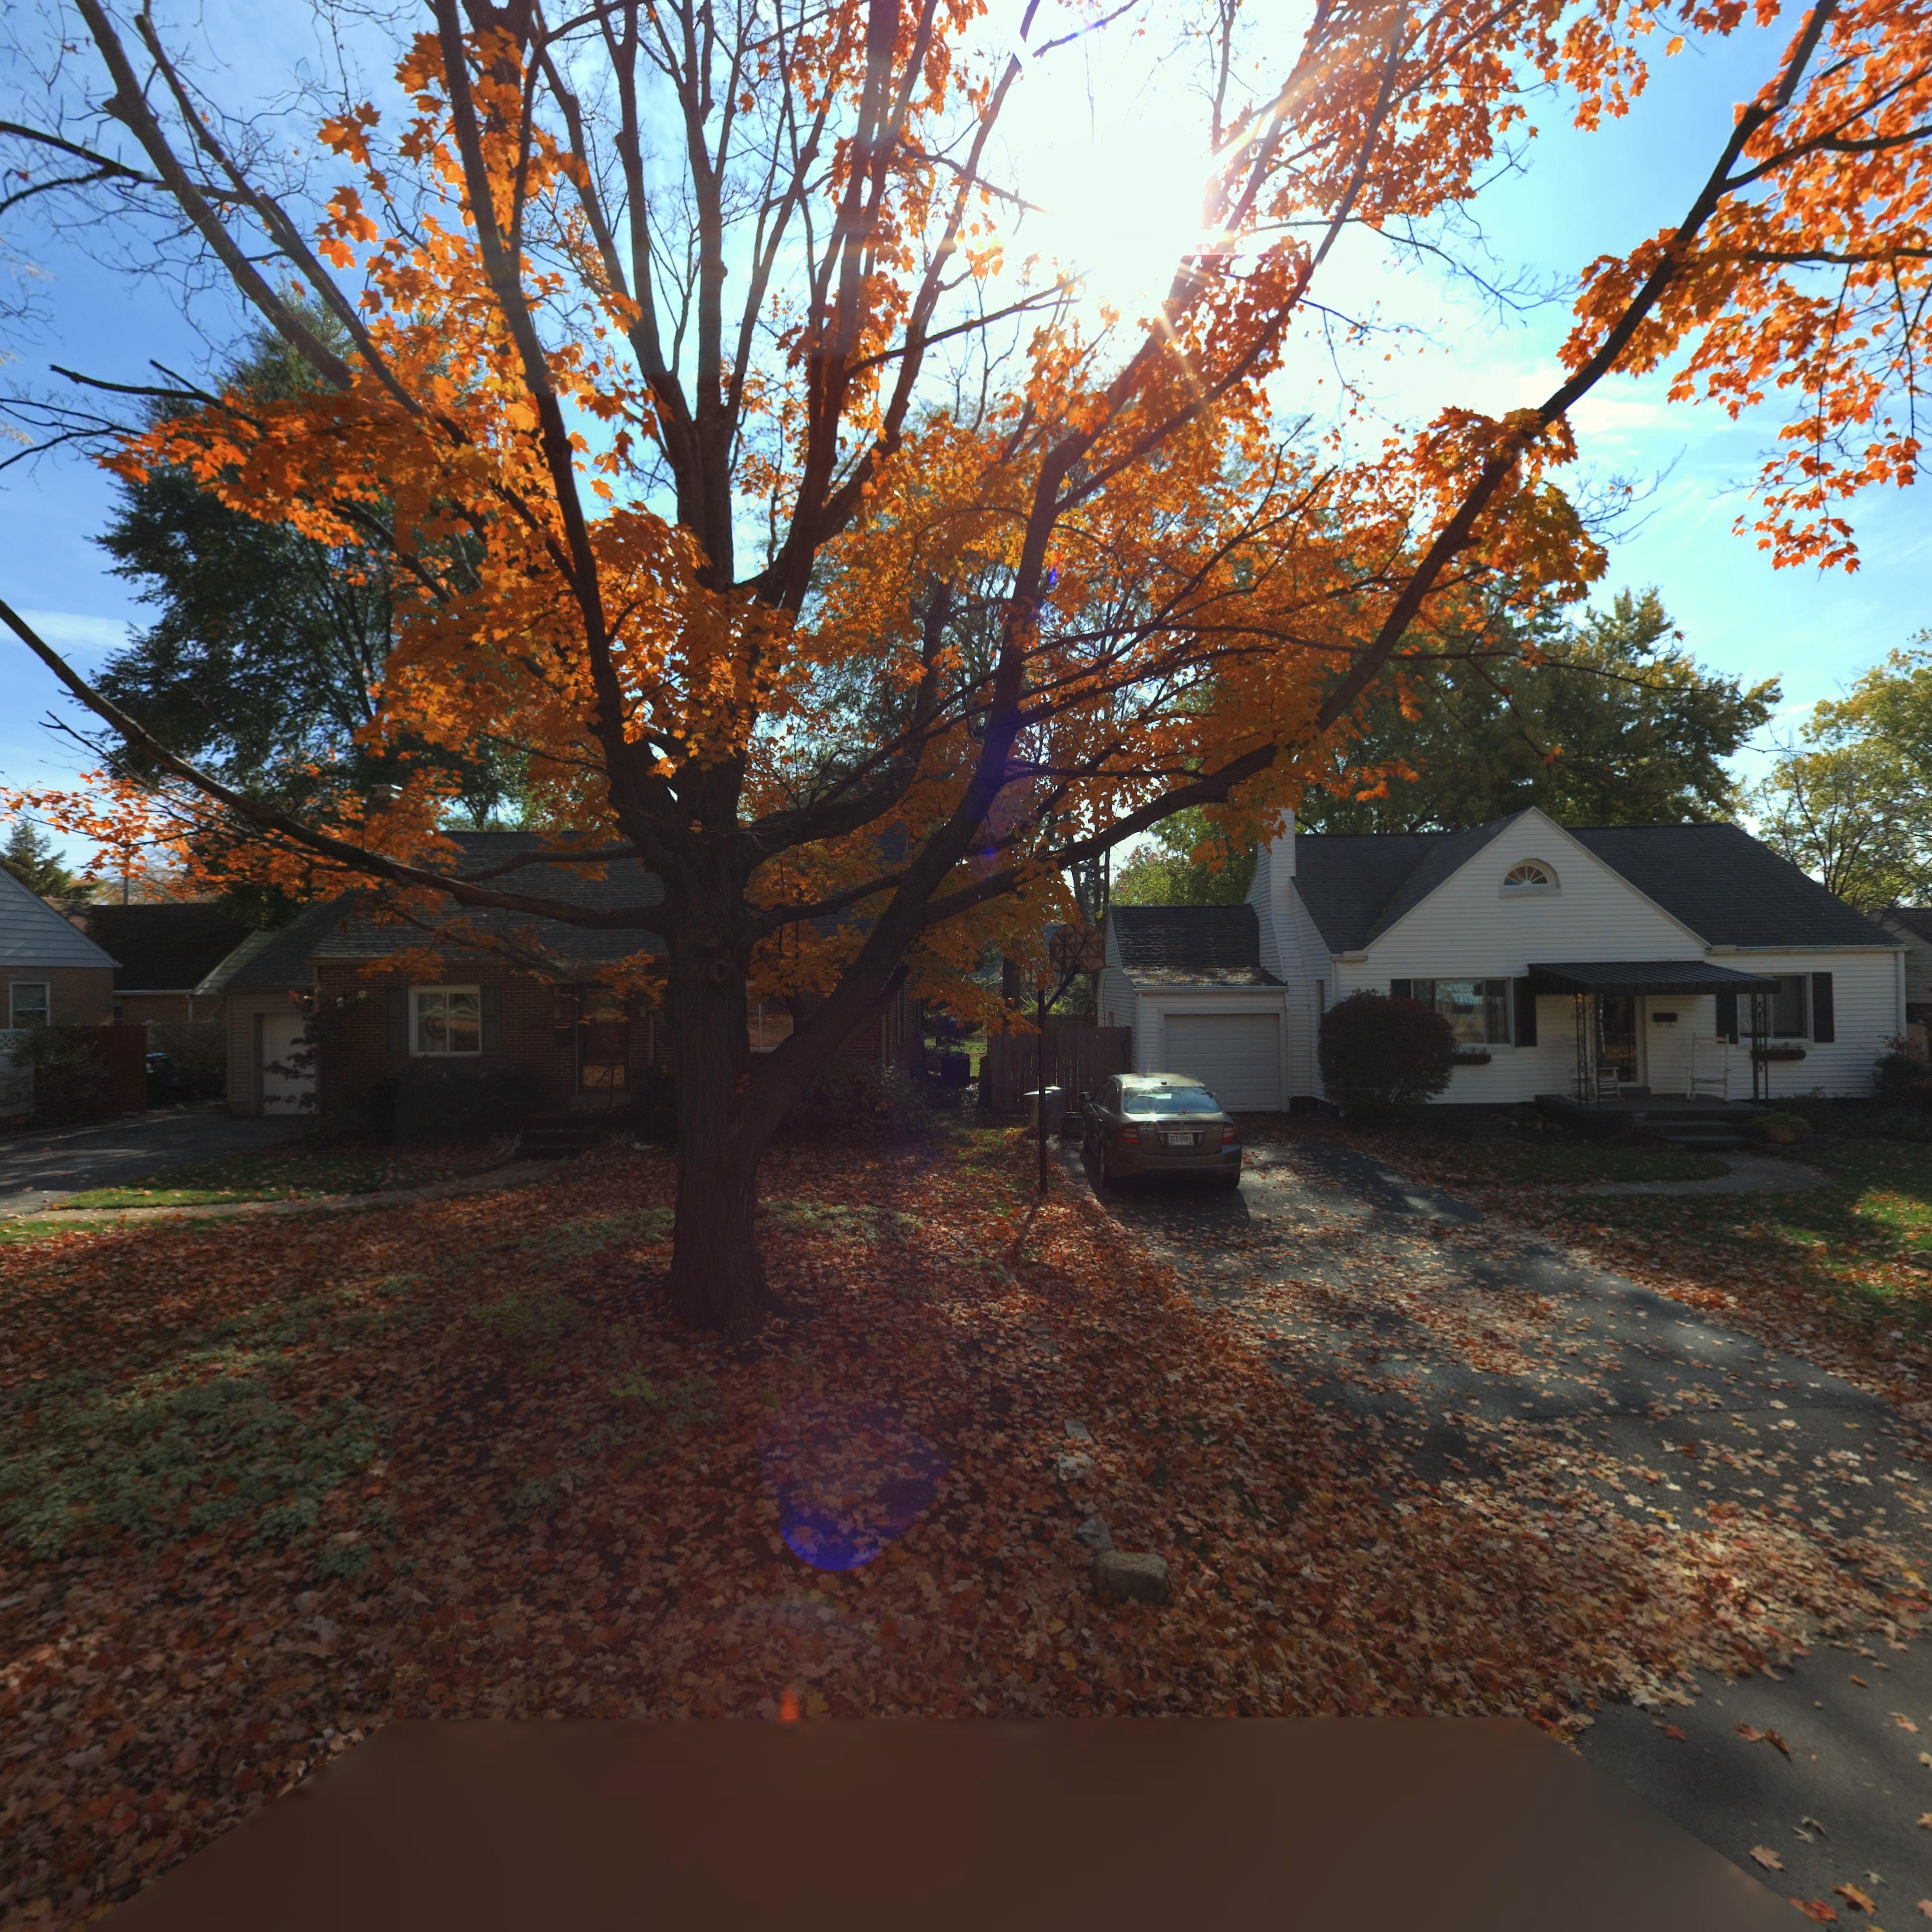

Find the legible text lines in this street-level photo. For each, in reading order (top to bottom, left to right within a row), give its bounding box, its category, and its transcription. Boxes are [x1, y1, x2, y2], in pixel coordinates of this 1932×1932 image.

[1570, 1013, 1582, 1019] StreetNumber: 6**
[1170, 1135, 1191, 1142] None: GCD*6981